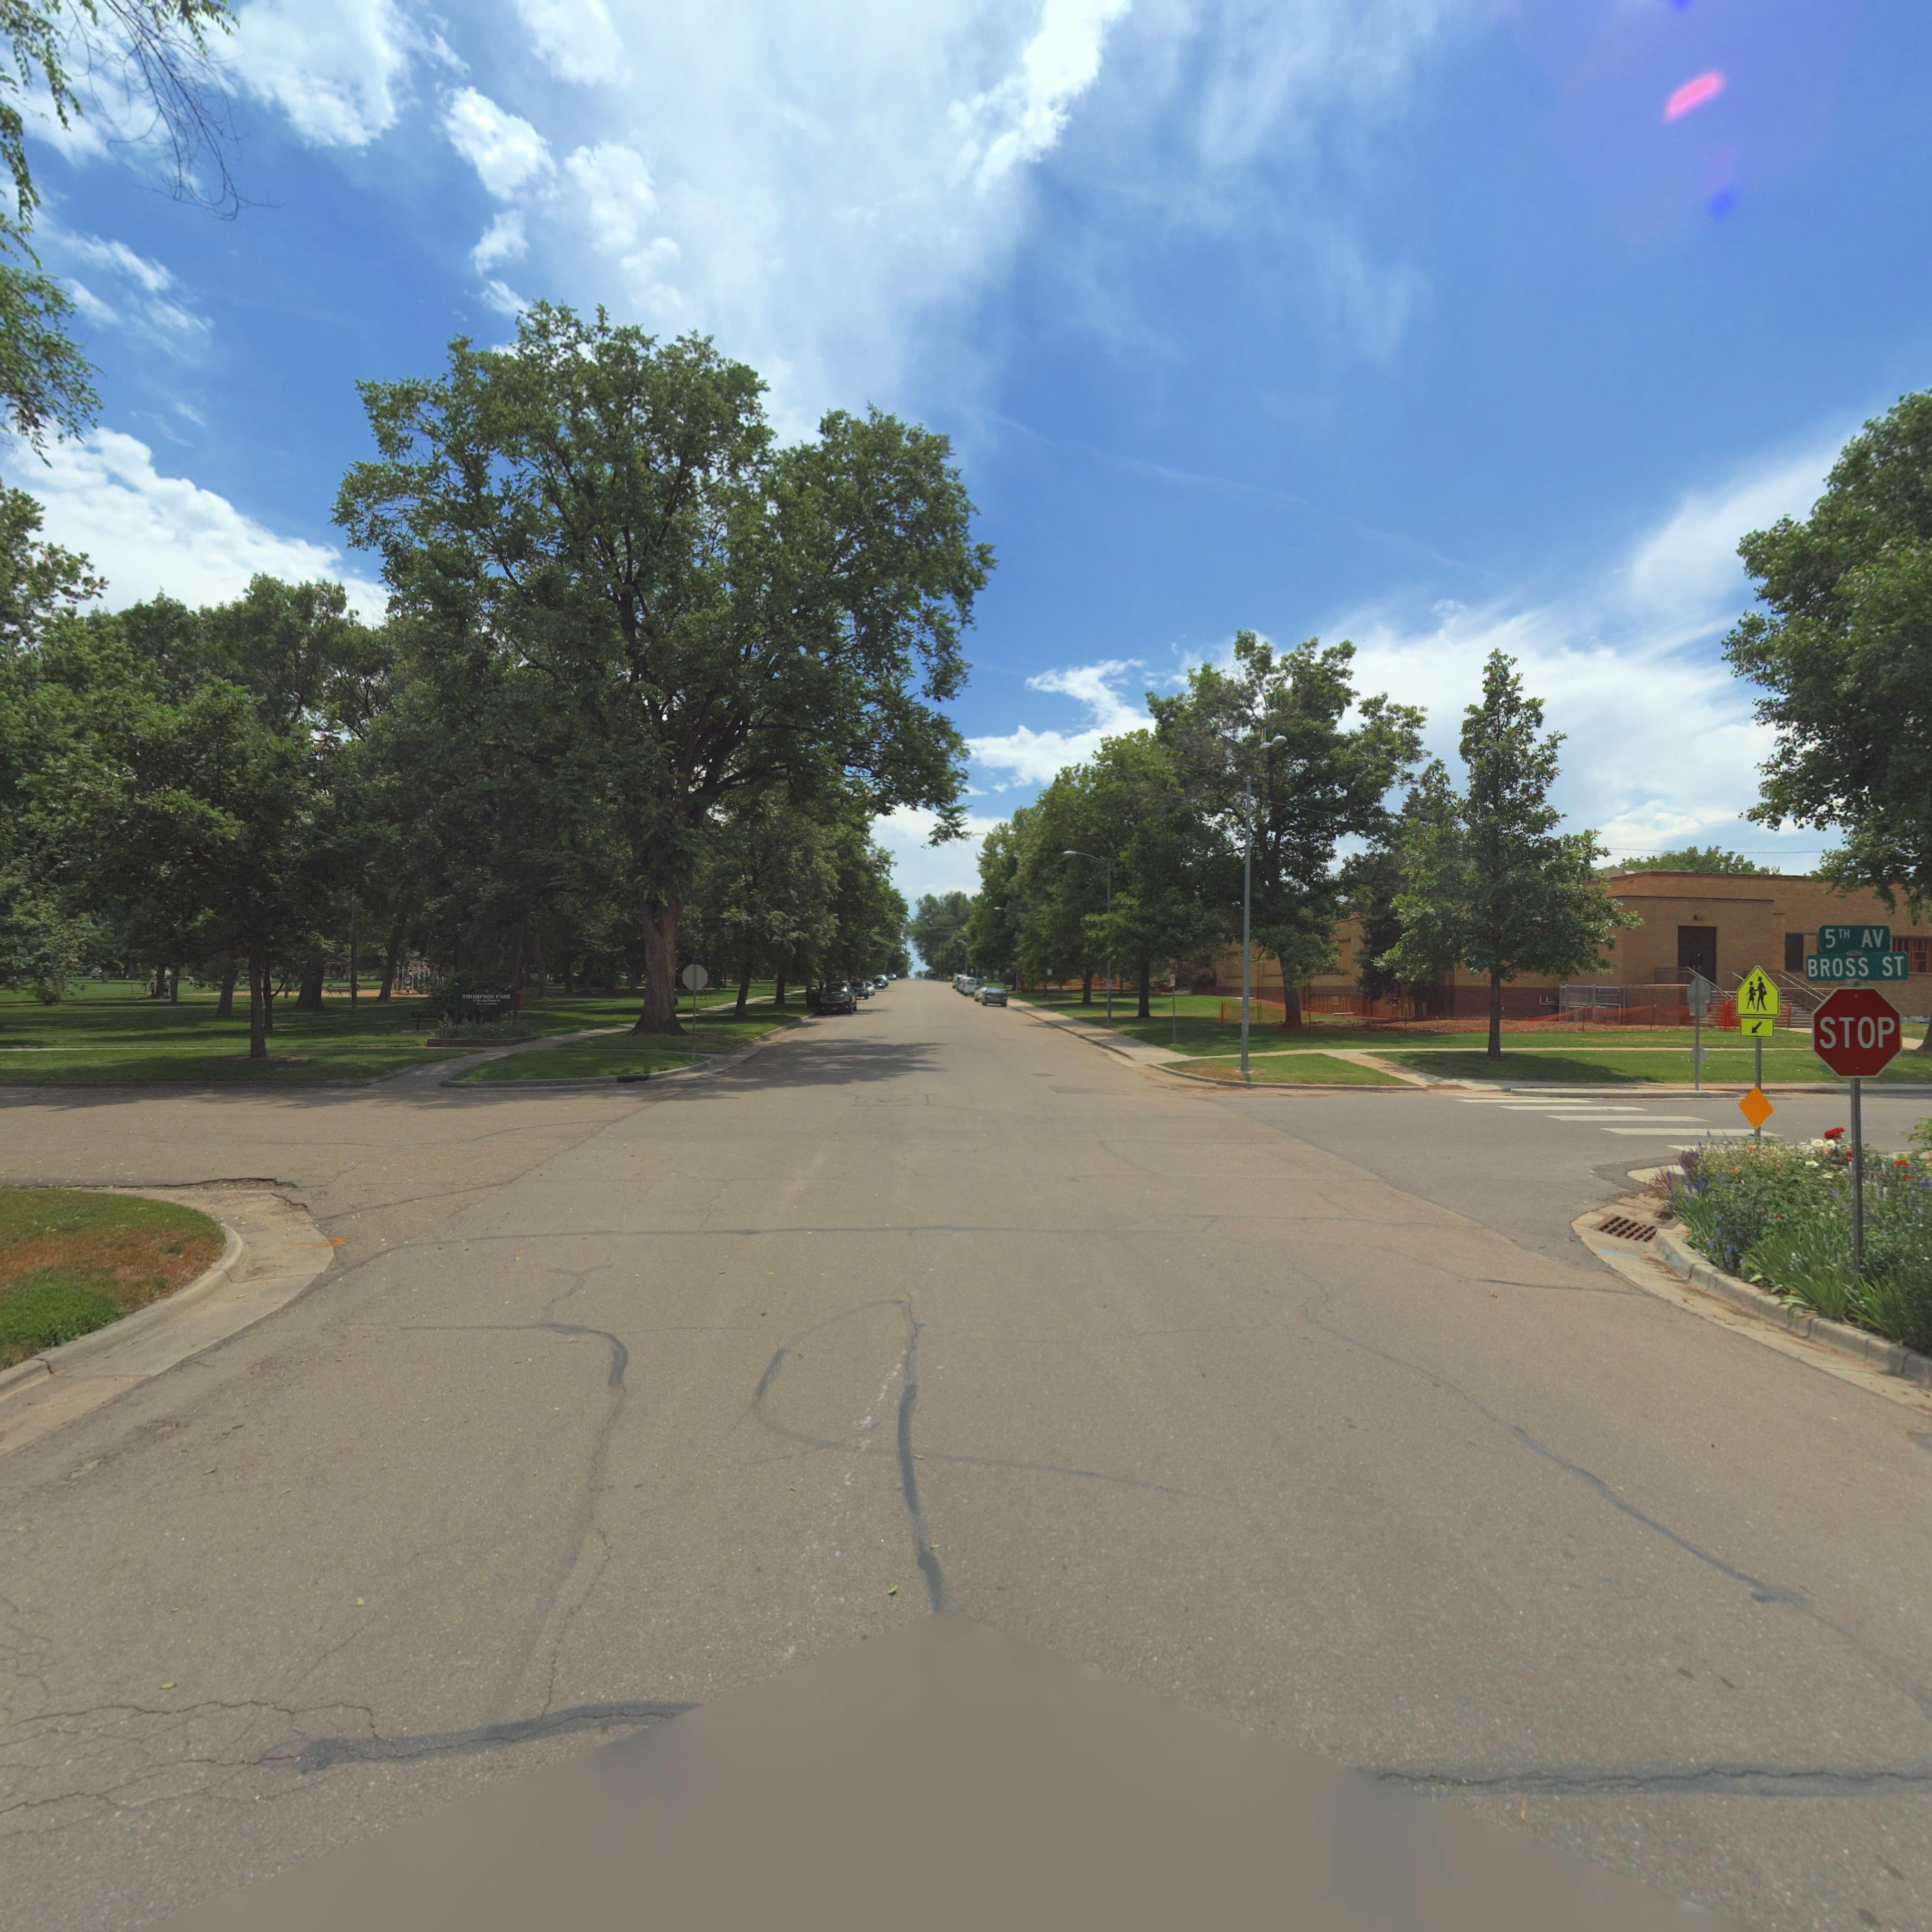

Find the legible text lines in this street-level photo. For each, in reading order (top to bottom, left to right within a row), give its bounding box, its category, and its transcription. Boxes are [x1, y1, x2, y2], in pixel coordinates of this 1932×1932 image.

[1825, 928, 1884, 949] StreetName: 5TH AV
[1807, 955, 1905, 977] StreetName: BROSS ST